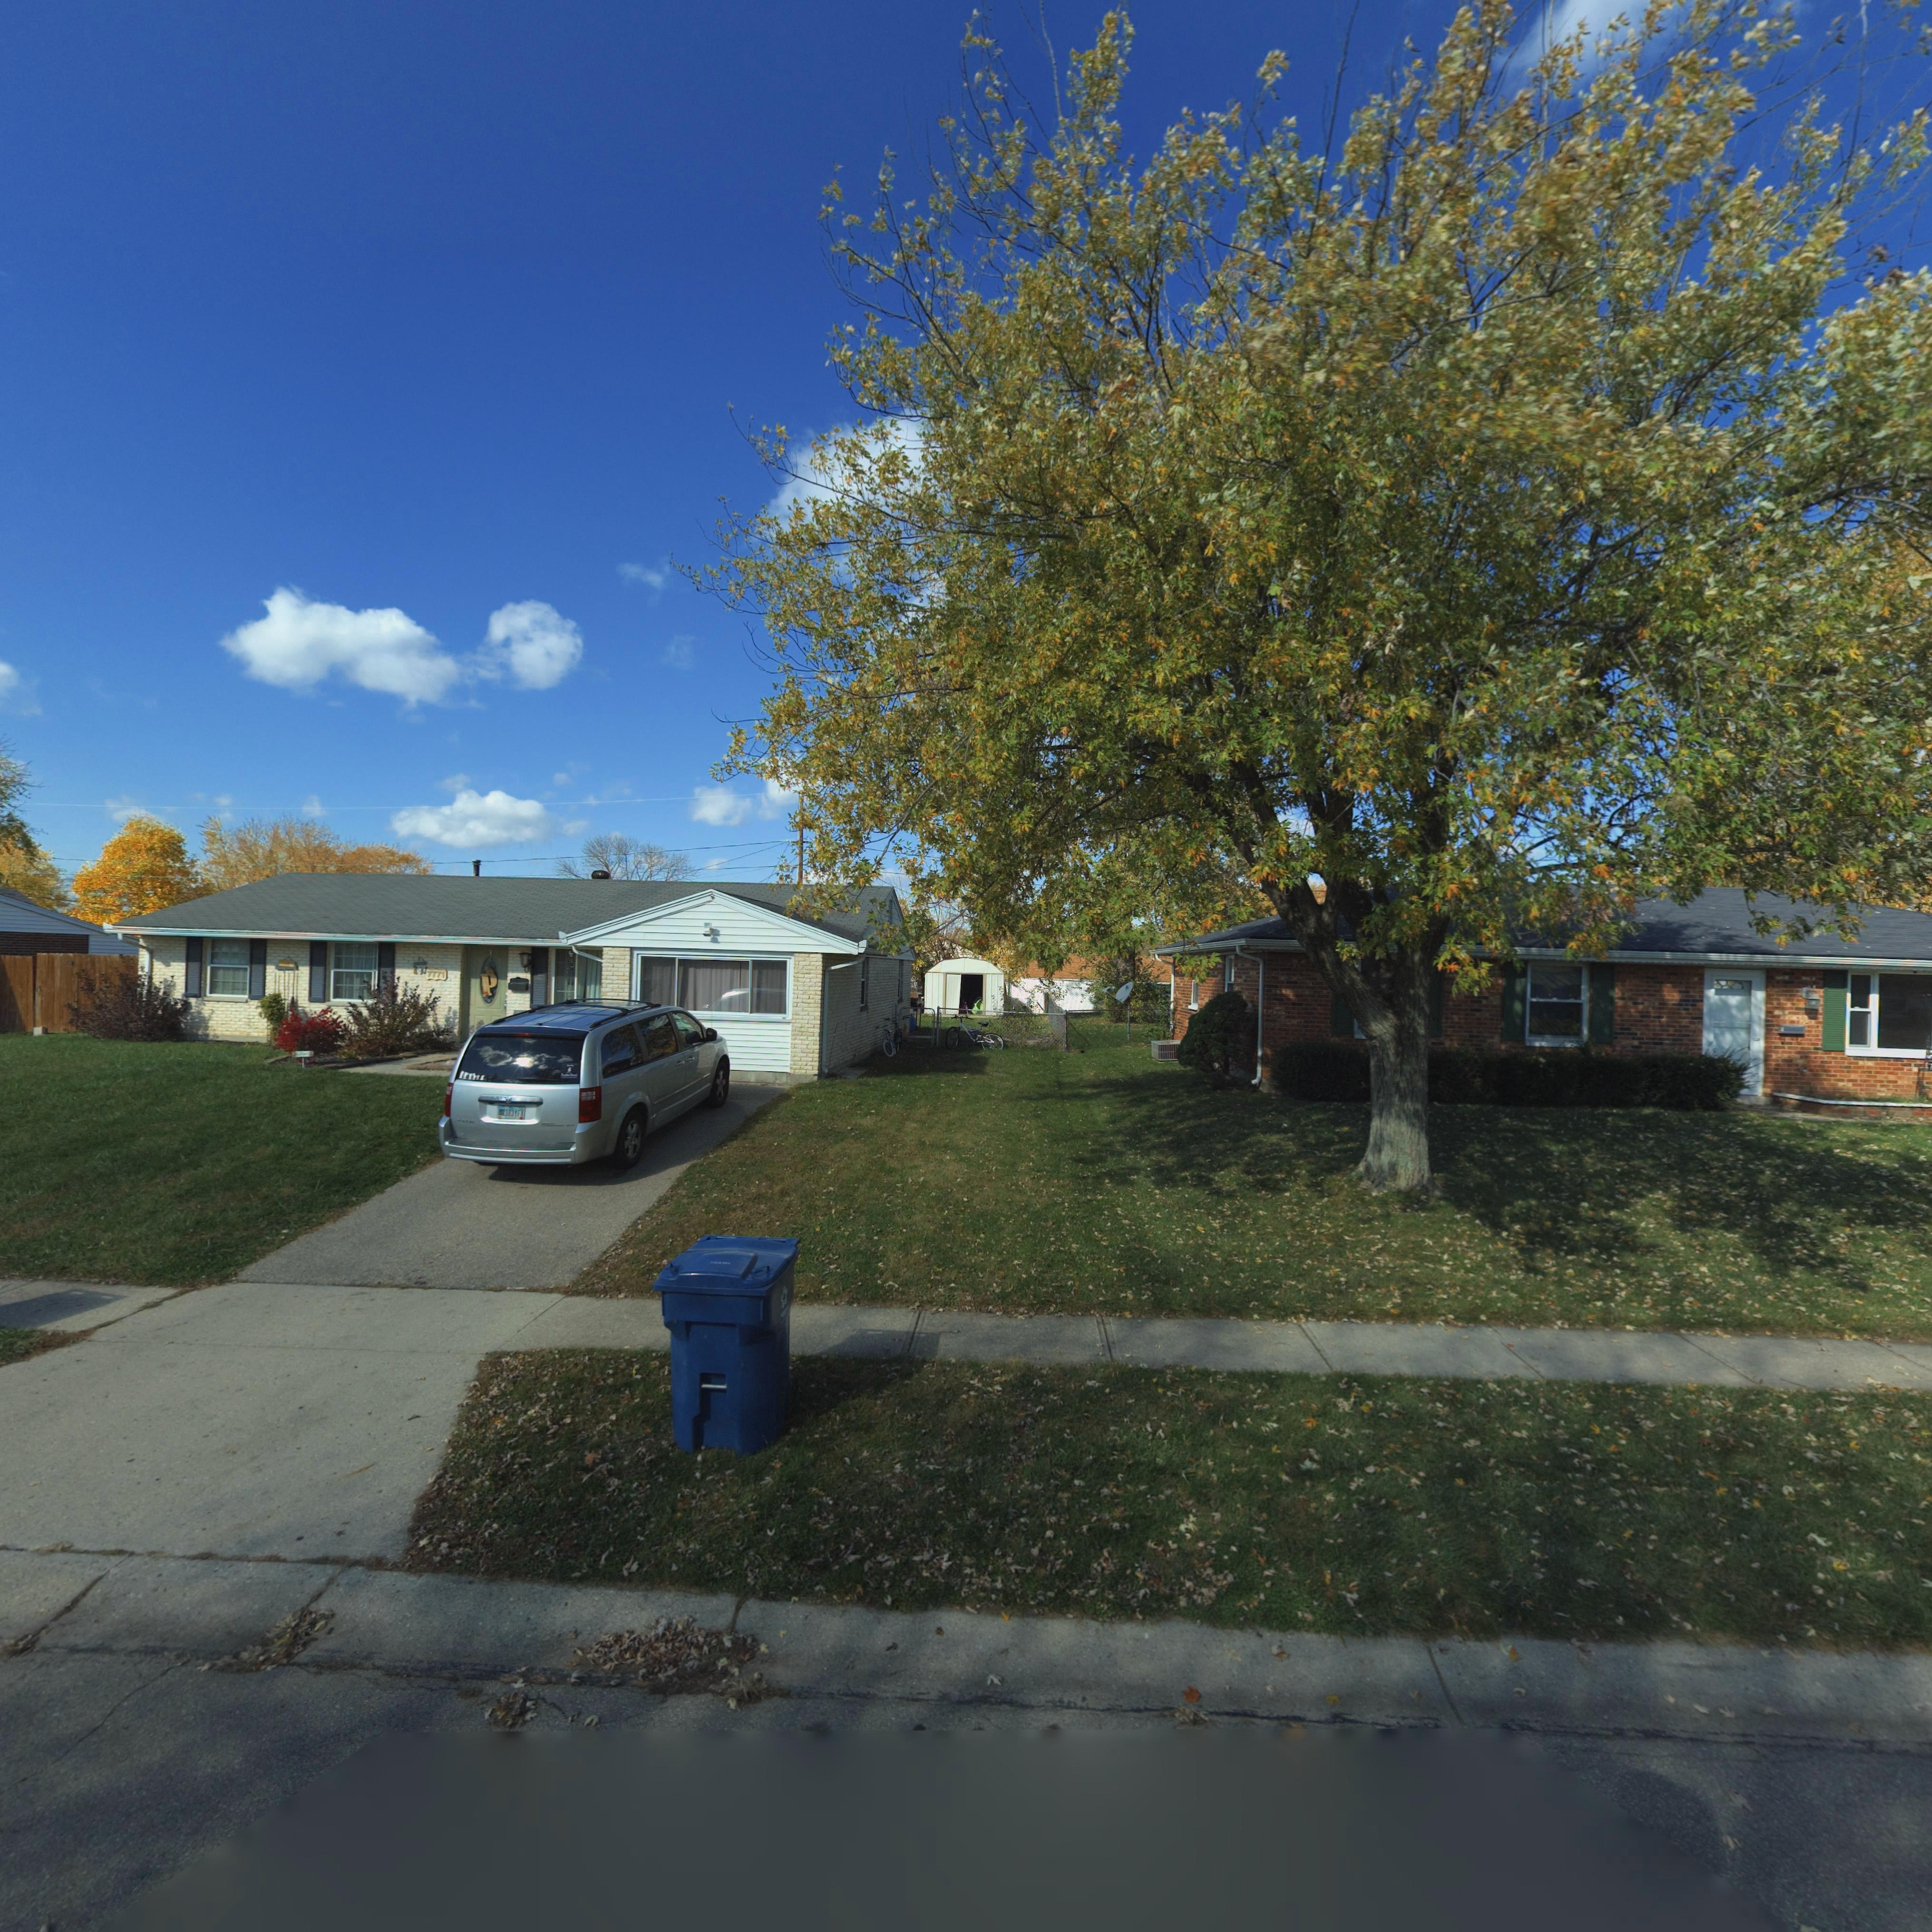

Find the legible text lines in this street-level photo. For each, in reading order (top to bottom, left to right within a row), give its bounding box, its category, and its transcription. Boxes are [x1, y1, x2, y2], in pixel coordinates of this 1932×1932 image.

[427, 971, 445, 979] StreetNumber: 7771